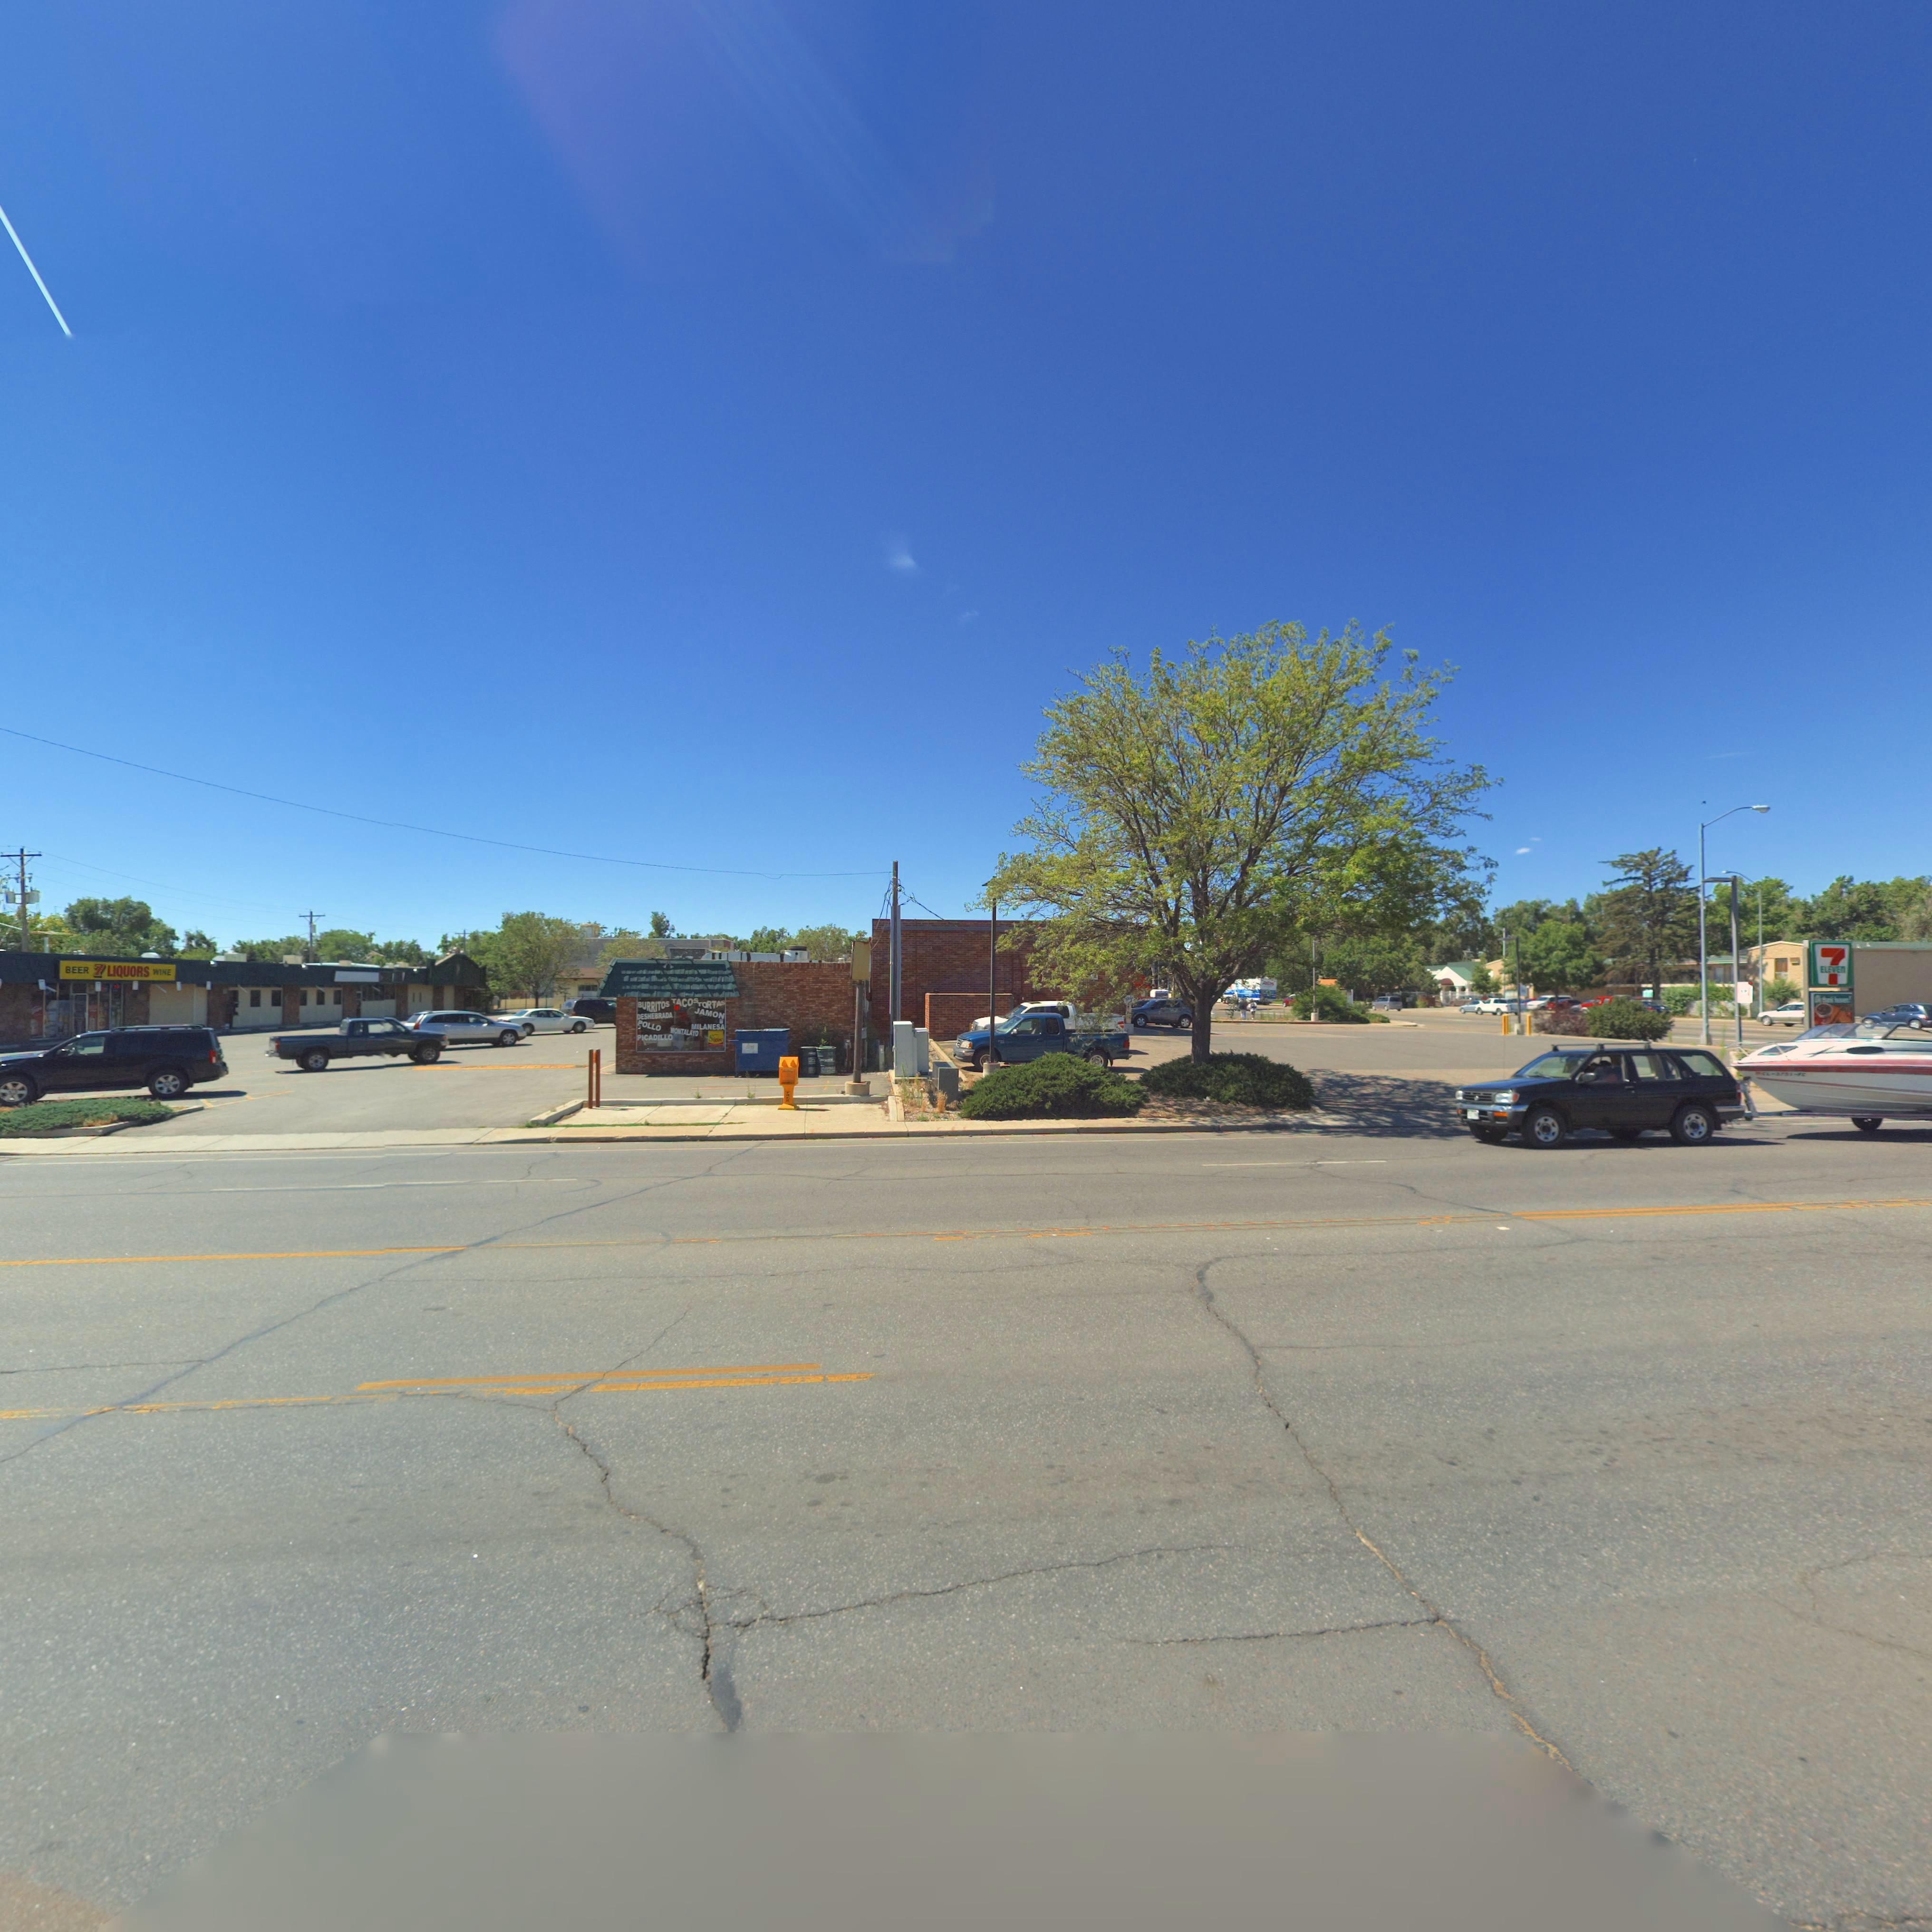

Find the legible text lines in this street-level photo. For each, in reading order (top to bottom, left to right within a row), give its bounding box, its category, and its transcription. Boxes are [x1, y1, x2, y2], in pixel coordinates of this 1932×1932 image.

[92, 963, 150, 978] BusinessName: 7 LIQUORS
[1820, 965, 1845, 973] BusinessName: ELEVEN
[1821, 947, 1846, 985] BusinessName: 7